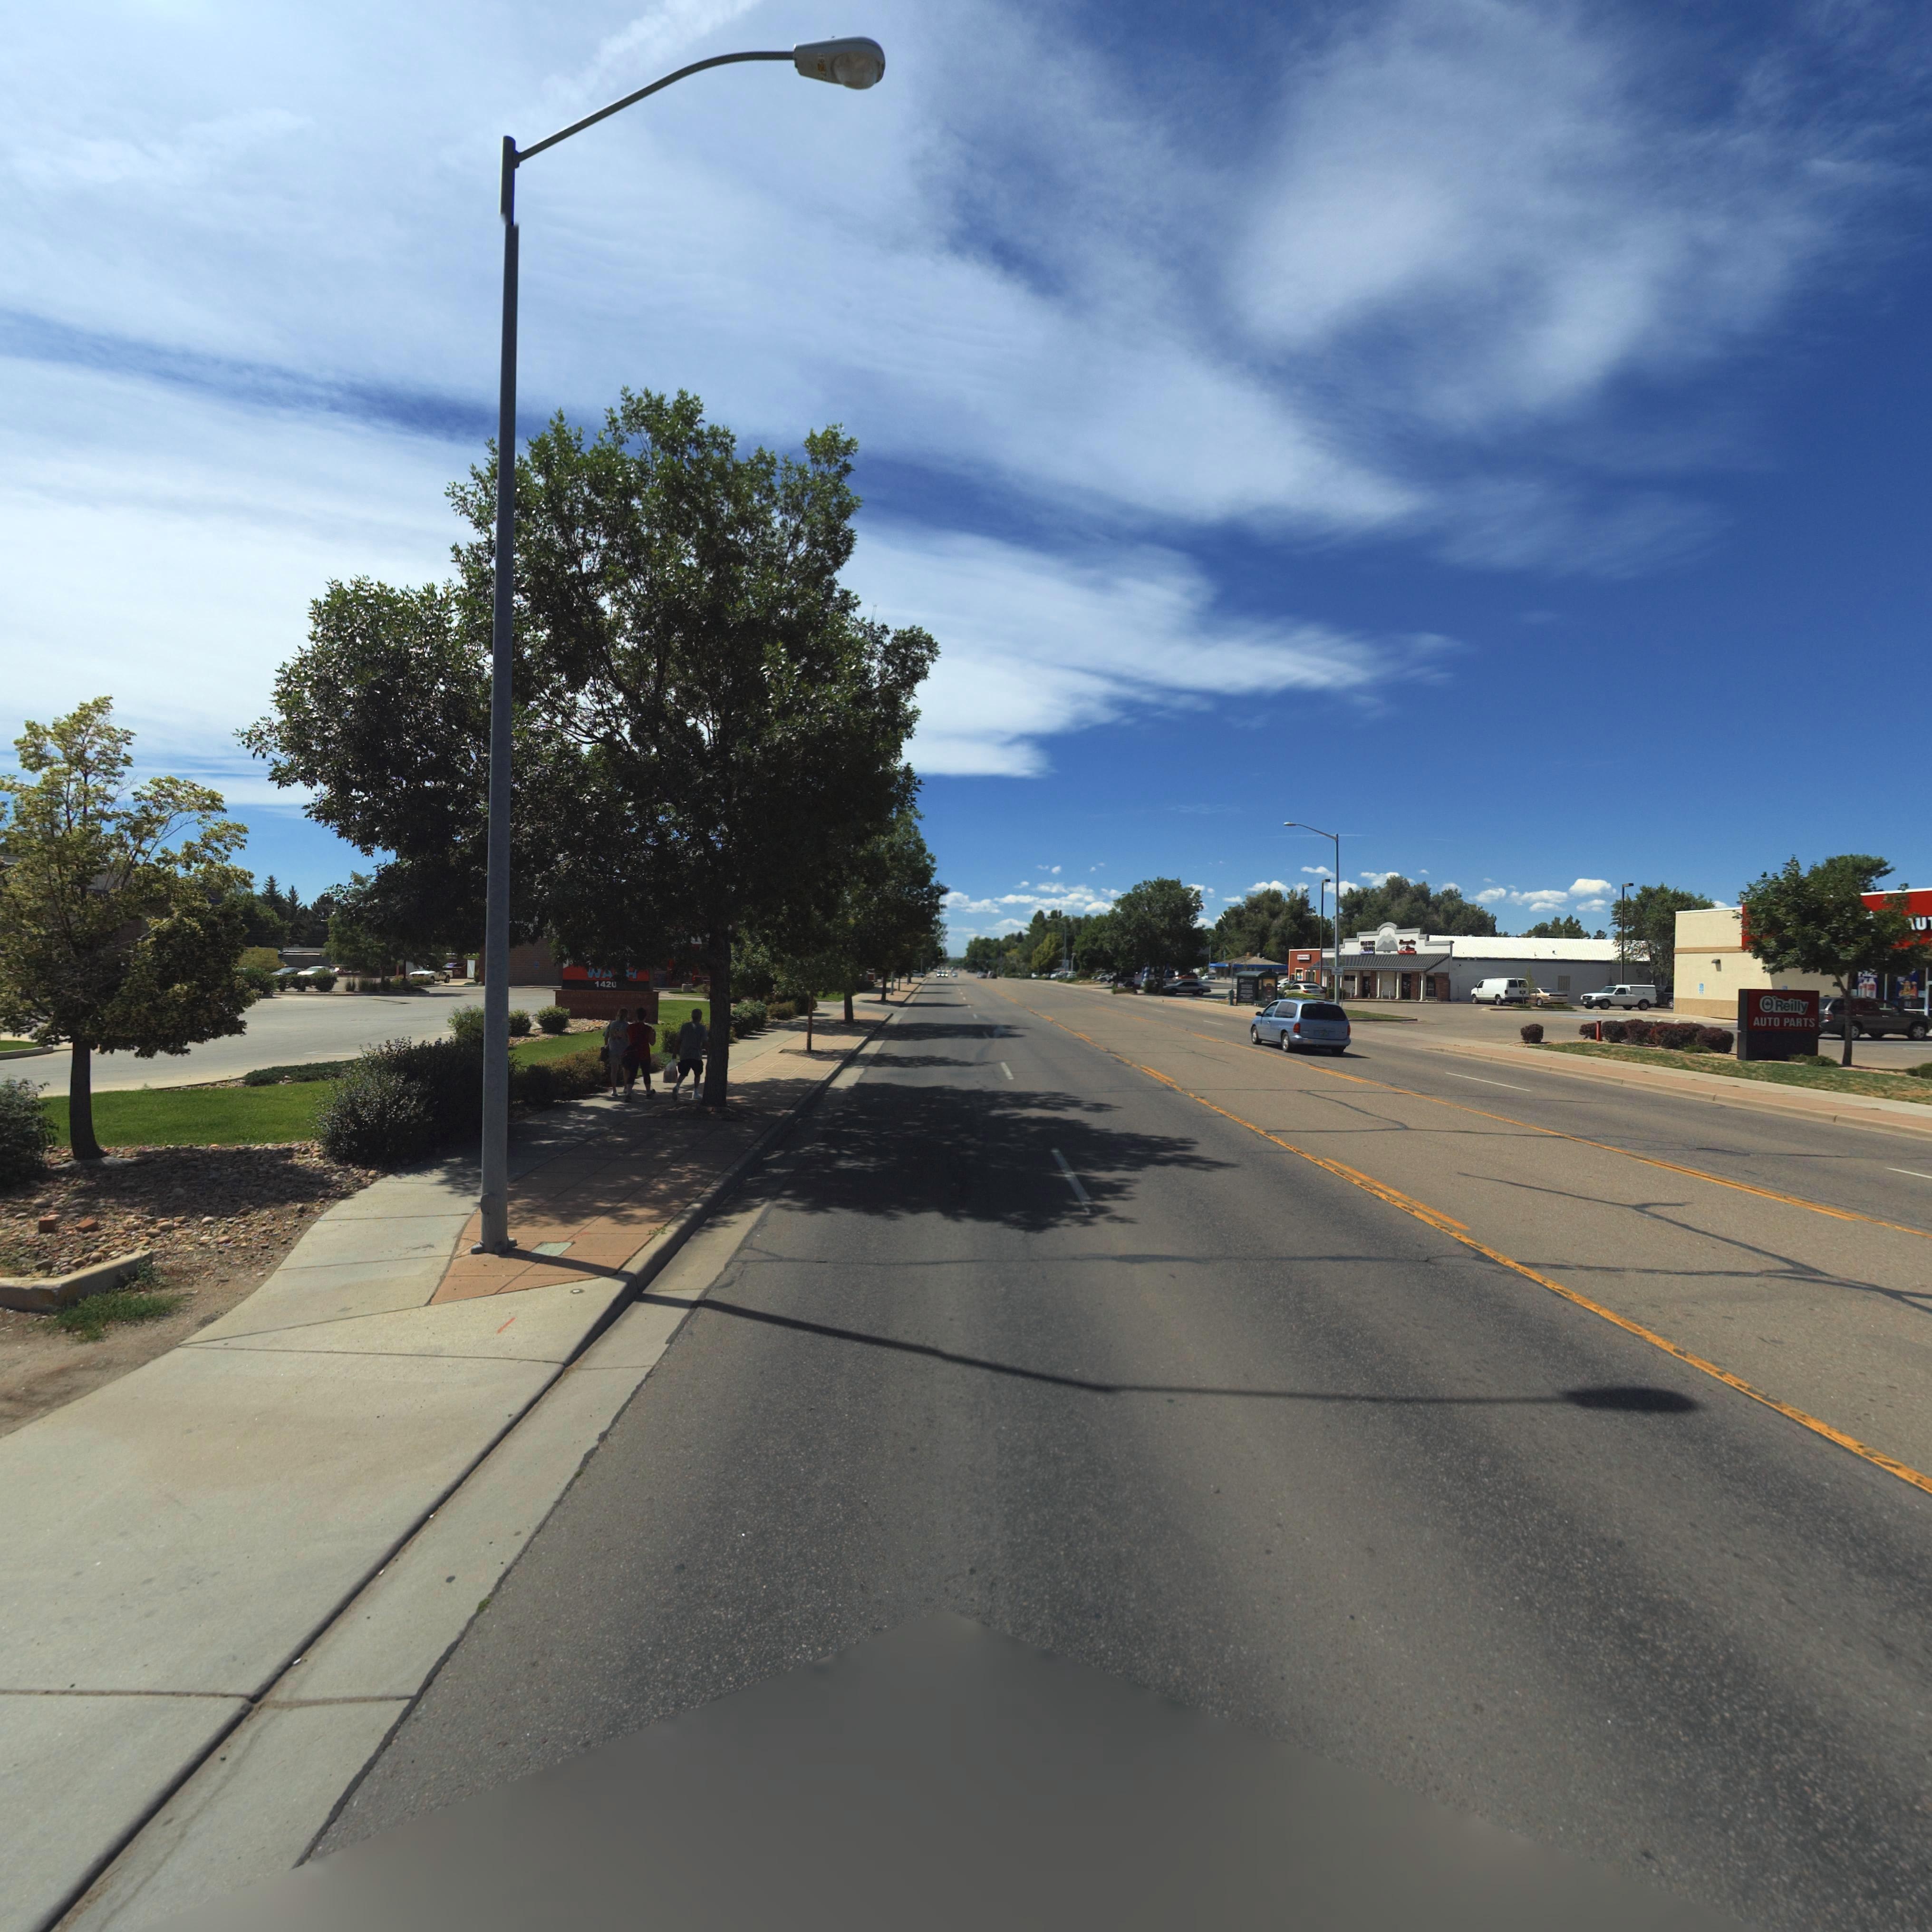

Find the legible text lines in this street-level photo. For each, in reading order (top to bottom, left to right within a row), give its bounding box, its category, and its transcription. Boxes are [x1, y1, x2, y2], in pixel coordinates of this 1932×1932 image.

[1914, 916, 1928, 931] BusinessName: U
[594, 980, 617, 988] StreetNumber: 1420
[1761, 996, 1807, 1013] BusinessName: *'Reilly
[1753, 1016, 1816, 1027] BusinessName: AUTO PARTS